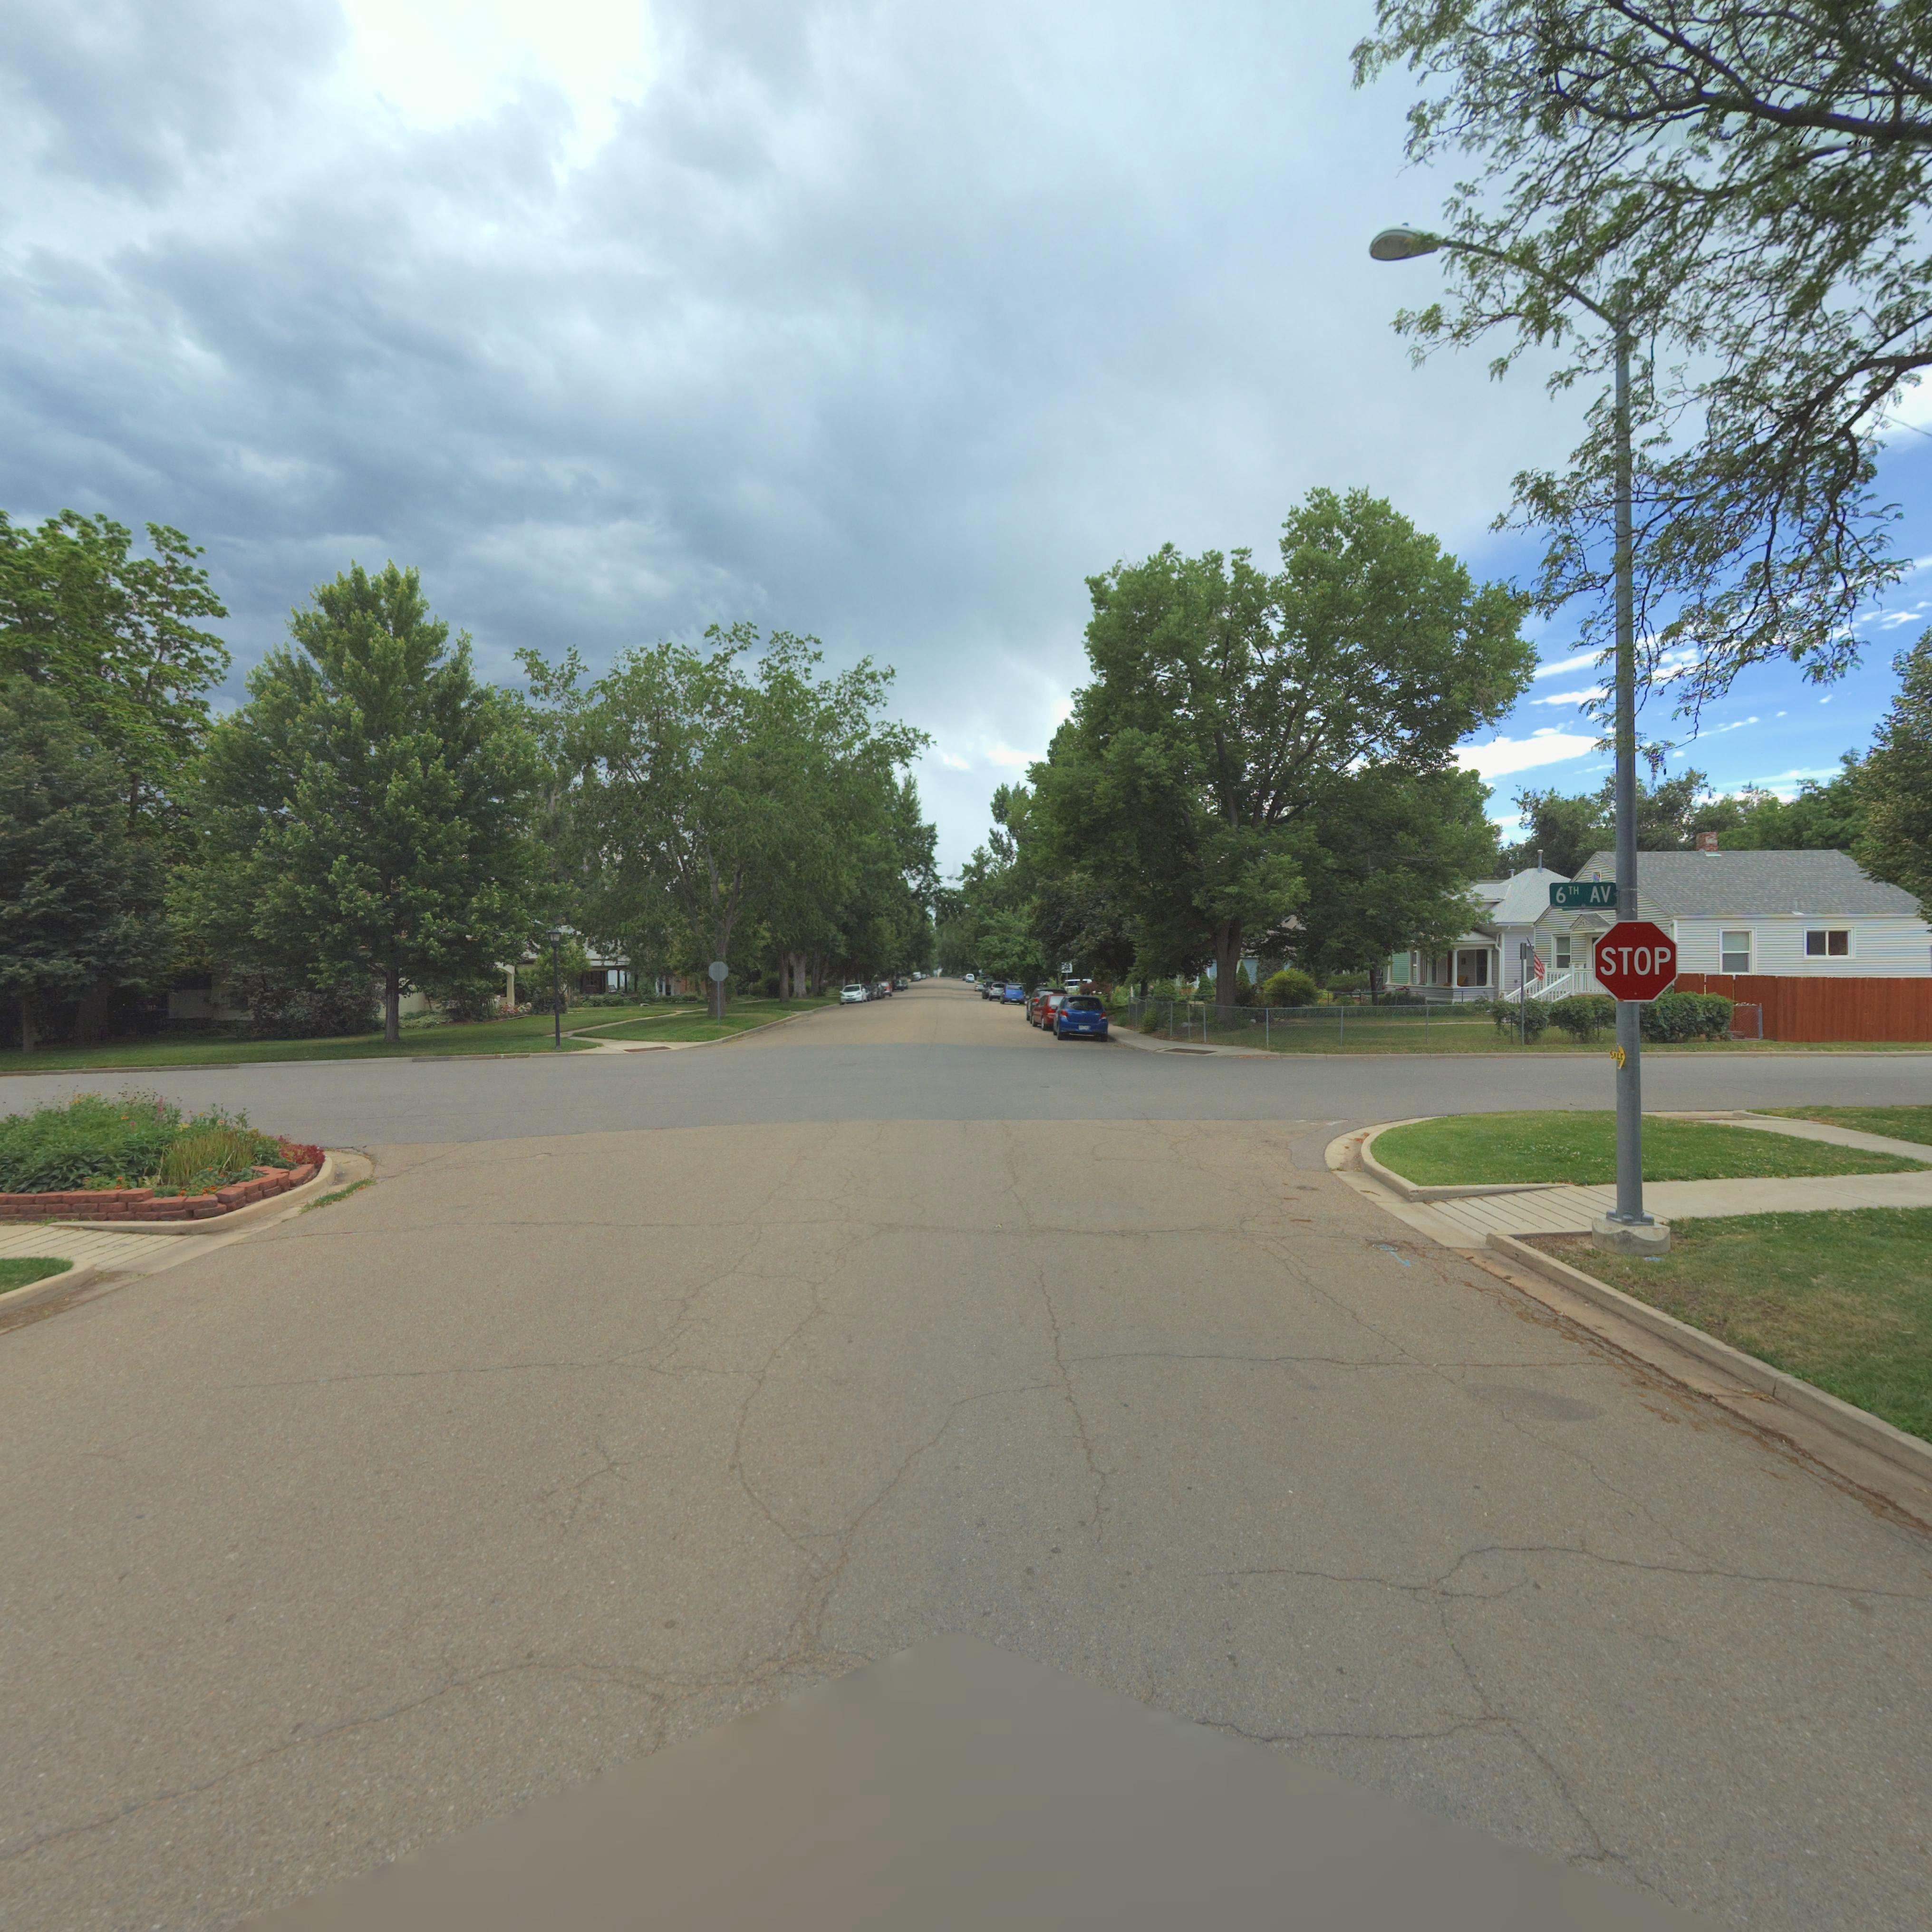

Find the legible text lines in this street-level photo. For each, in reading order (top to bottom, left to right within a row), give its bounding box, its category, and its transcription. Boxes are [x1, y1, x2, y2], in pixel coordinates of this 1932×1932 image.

[1555, 885, 1611, 904] StreetName: 6TH